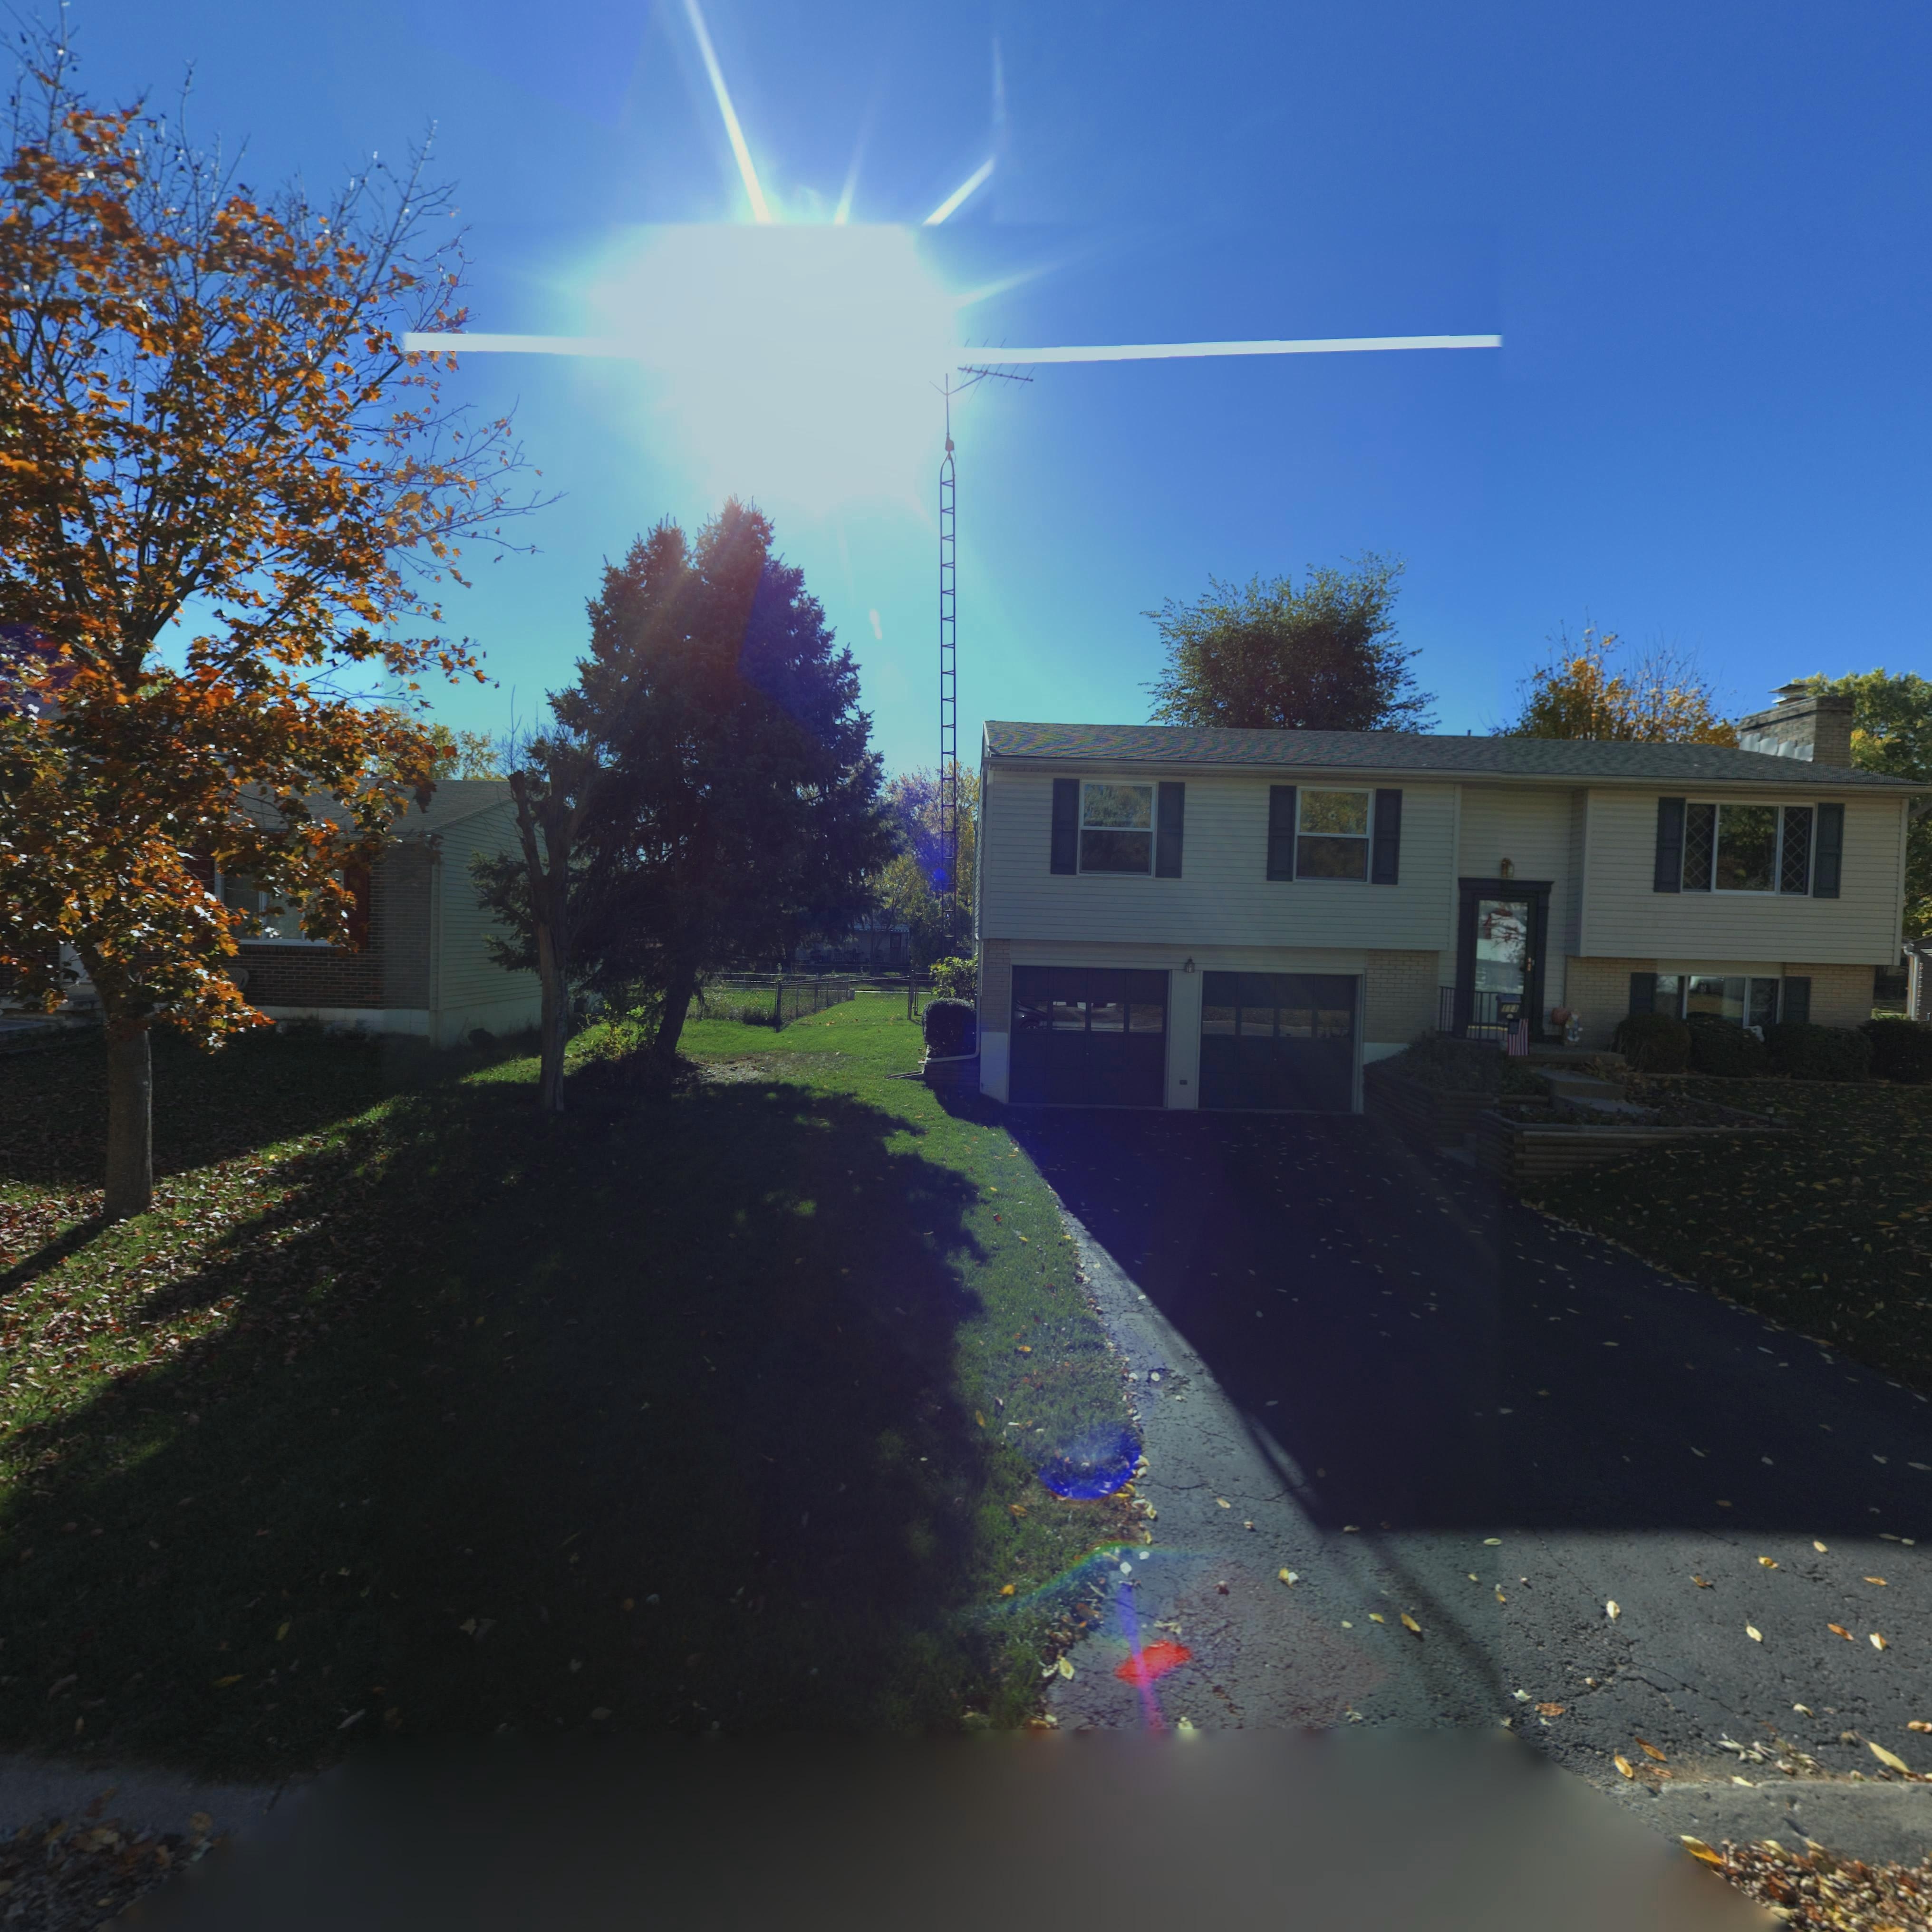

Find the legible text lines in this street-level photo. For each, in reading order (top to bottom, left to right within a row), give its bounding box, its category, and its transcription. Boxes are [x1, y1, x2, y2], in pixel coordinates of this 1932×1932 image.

[1502, 1004, 1518, 1013] StreetNumber: 11*